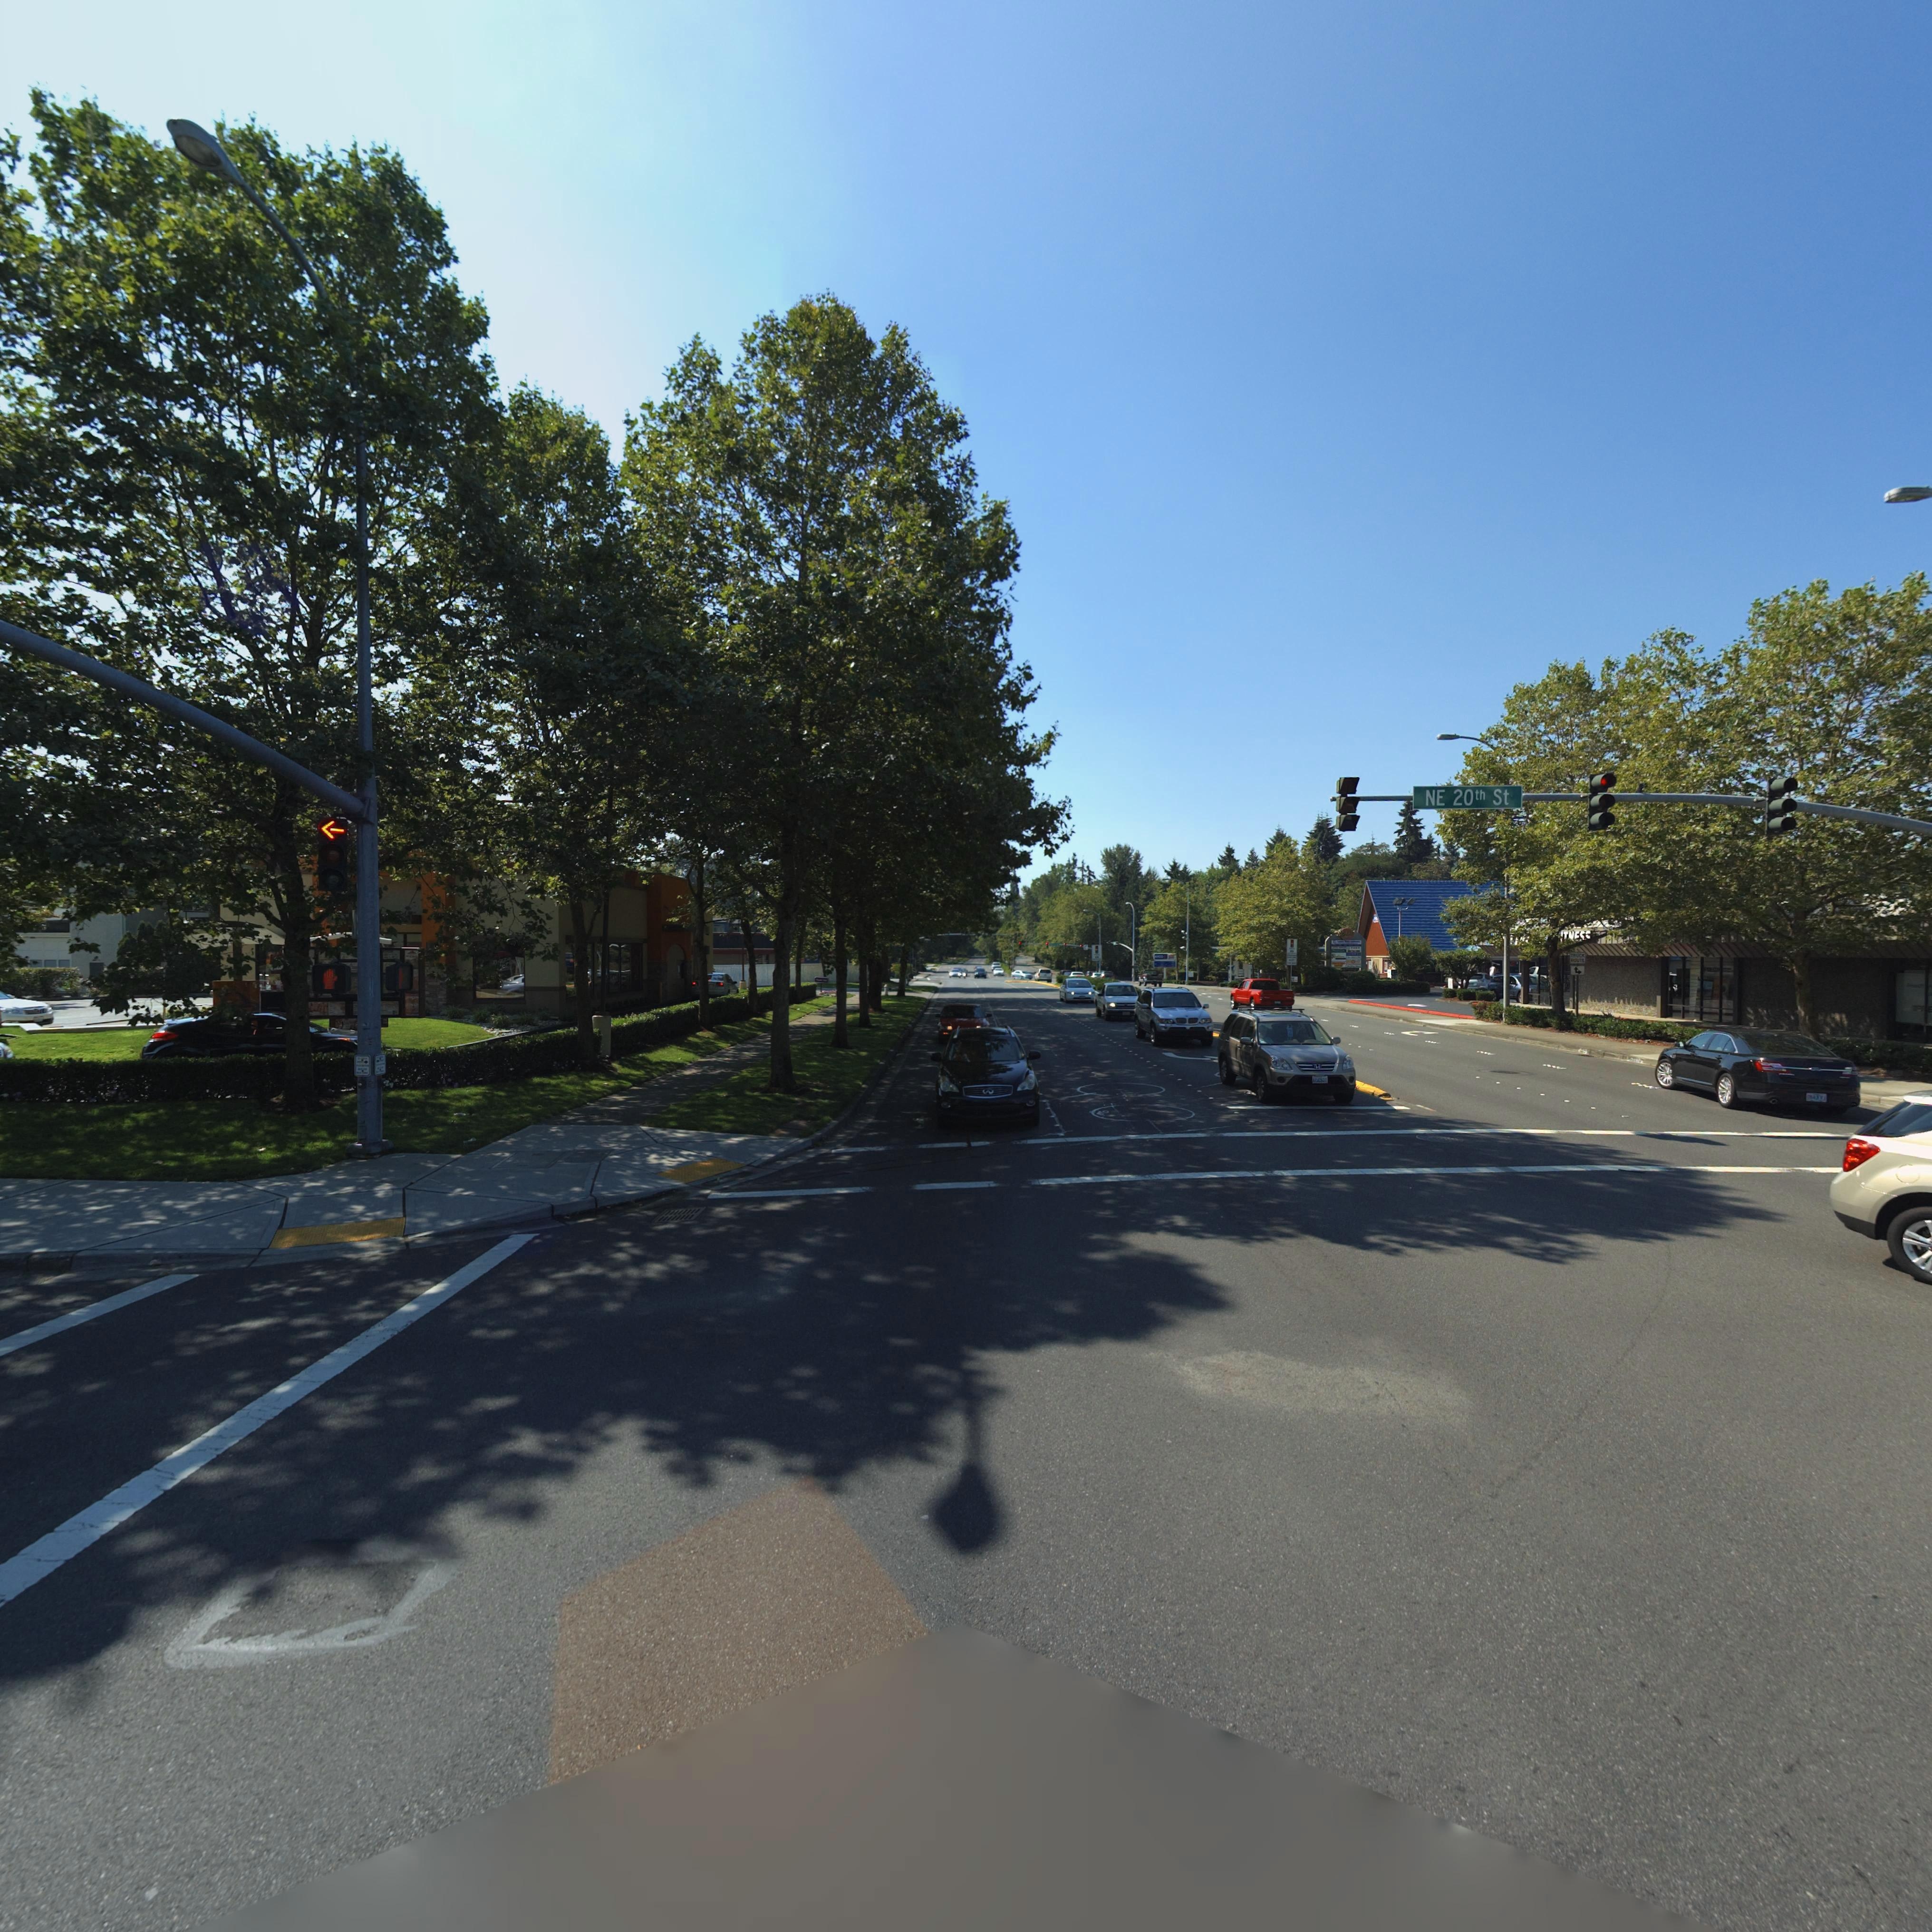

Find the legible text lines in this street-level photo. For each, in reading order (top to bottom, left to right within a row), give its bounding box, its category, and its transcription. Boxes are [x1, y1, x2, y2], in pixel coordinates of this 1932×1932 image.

[1426, 789, 1508, 805] StreetName: NE 20th St
[1563, 930, 1591, 942] BusinessName: T*ES*